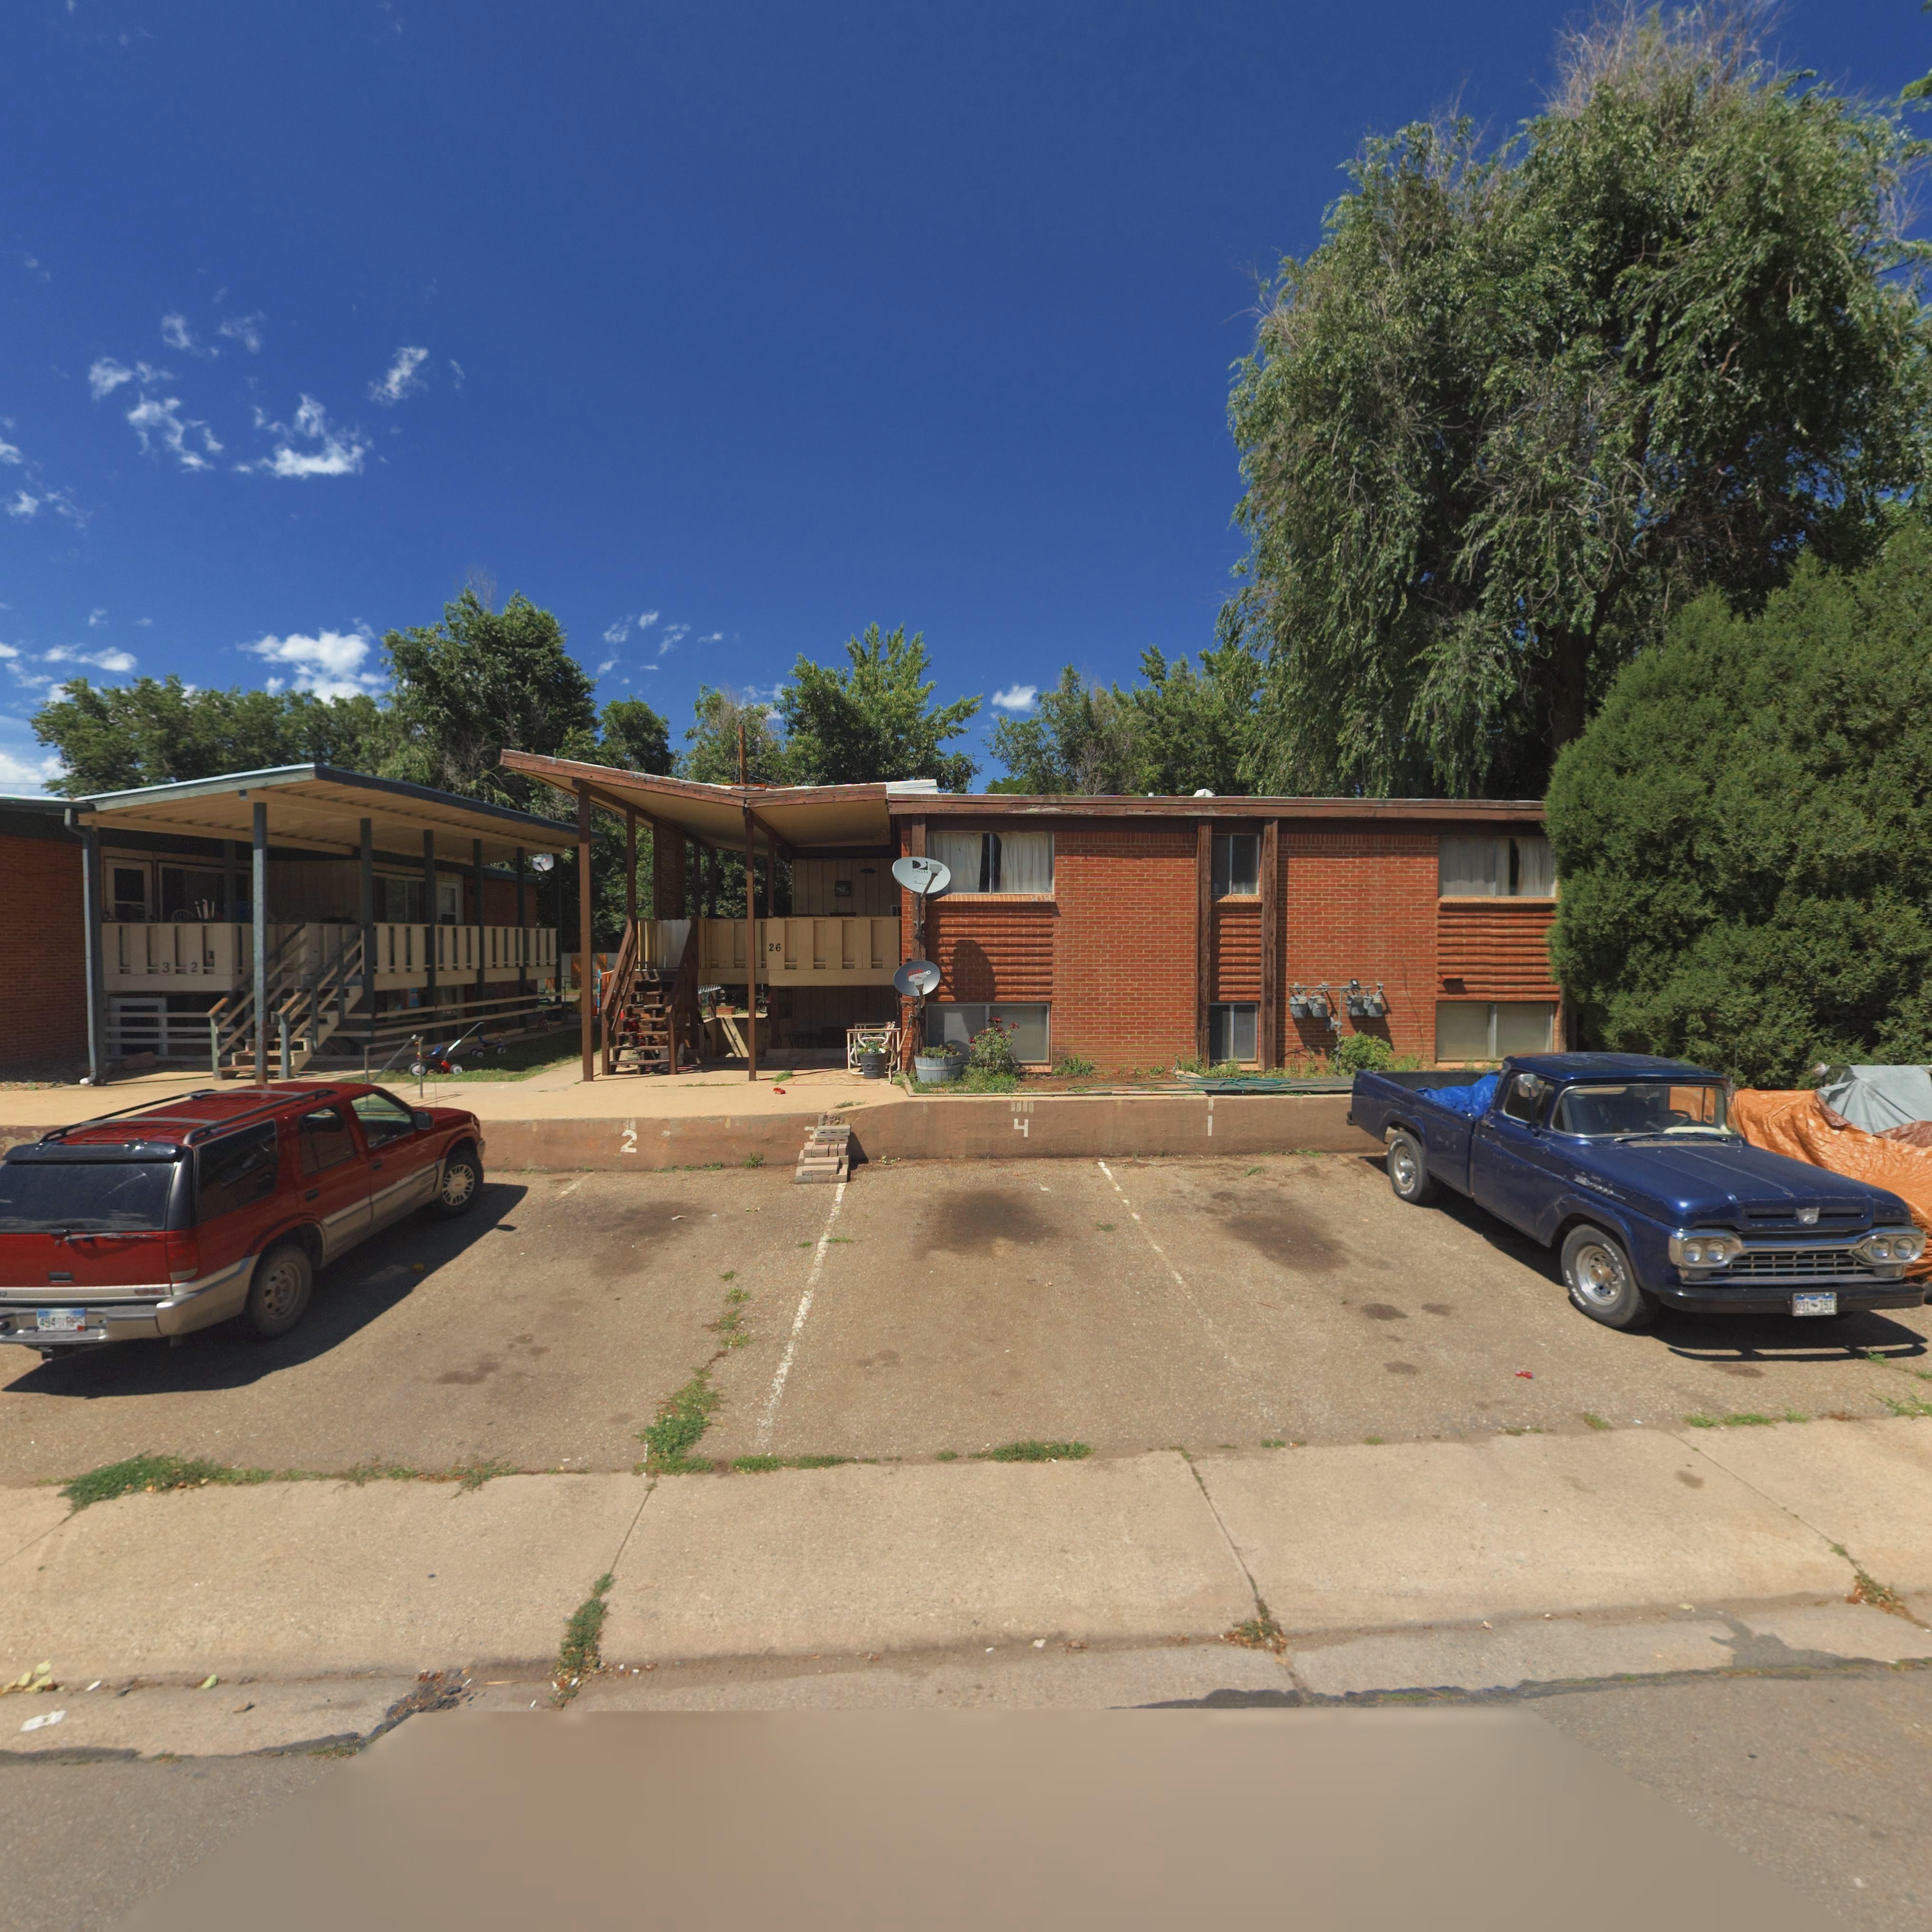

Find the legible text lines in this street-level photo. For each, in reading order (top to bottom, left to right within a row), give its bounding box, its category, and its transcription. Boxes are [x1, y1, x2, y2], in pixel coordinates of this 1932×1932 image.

[768, 943, 781, 951] StreetNumber: 26
[162, 961, 198, 973] StreetNumber: 3 2